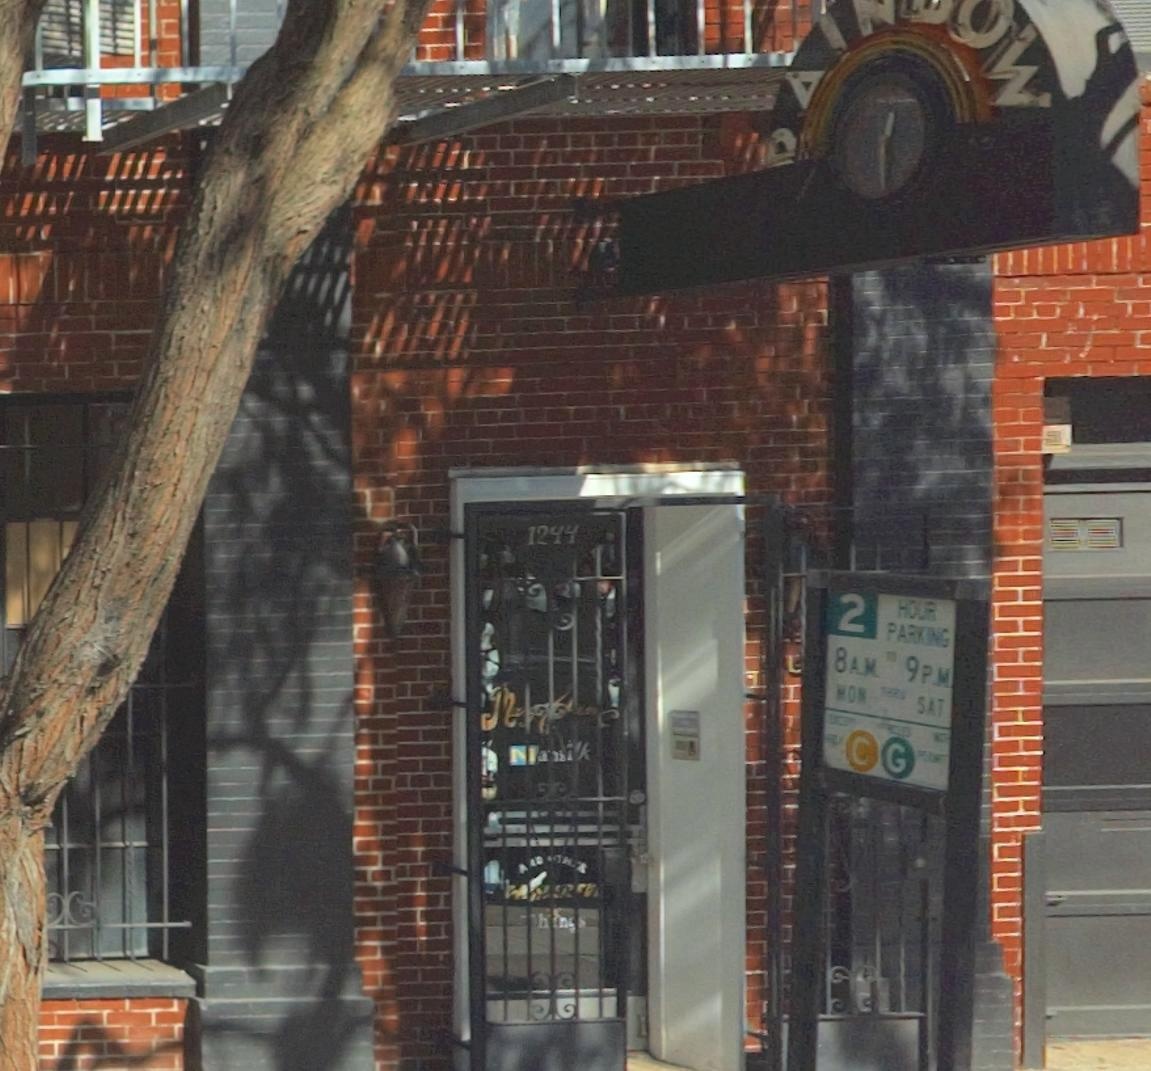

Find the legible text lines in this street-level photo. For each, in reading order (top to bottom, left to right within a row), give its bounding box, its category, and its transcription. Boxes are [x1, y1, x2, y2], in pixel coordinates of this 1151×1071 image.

[984, 19, 1053, 110] BusinessName: W
[525, 523, 581, 547] StreetNumber: 1244
[836, 591, 868, 634] None: 2
[897, 597, 939, 624] None: HOUR
[886, 620, 951, 650] None: PARKING
[832, 645, 951, 690] None: 8A.M. to 9P.M
[834, 681, 947, 720] None: MON THRU SAT
[849, 734, 873, 768] None: C
[884, 741, 909, 776] None: G
[517, 862, 530, 876] None: A
[560, 854, 575, 867] None: H
[538, 911, 588, 935] None: h*n*s